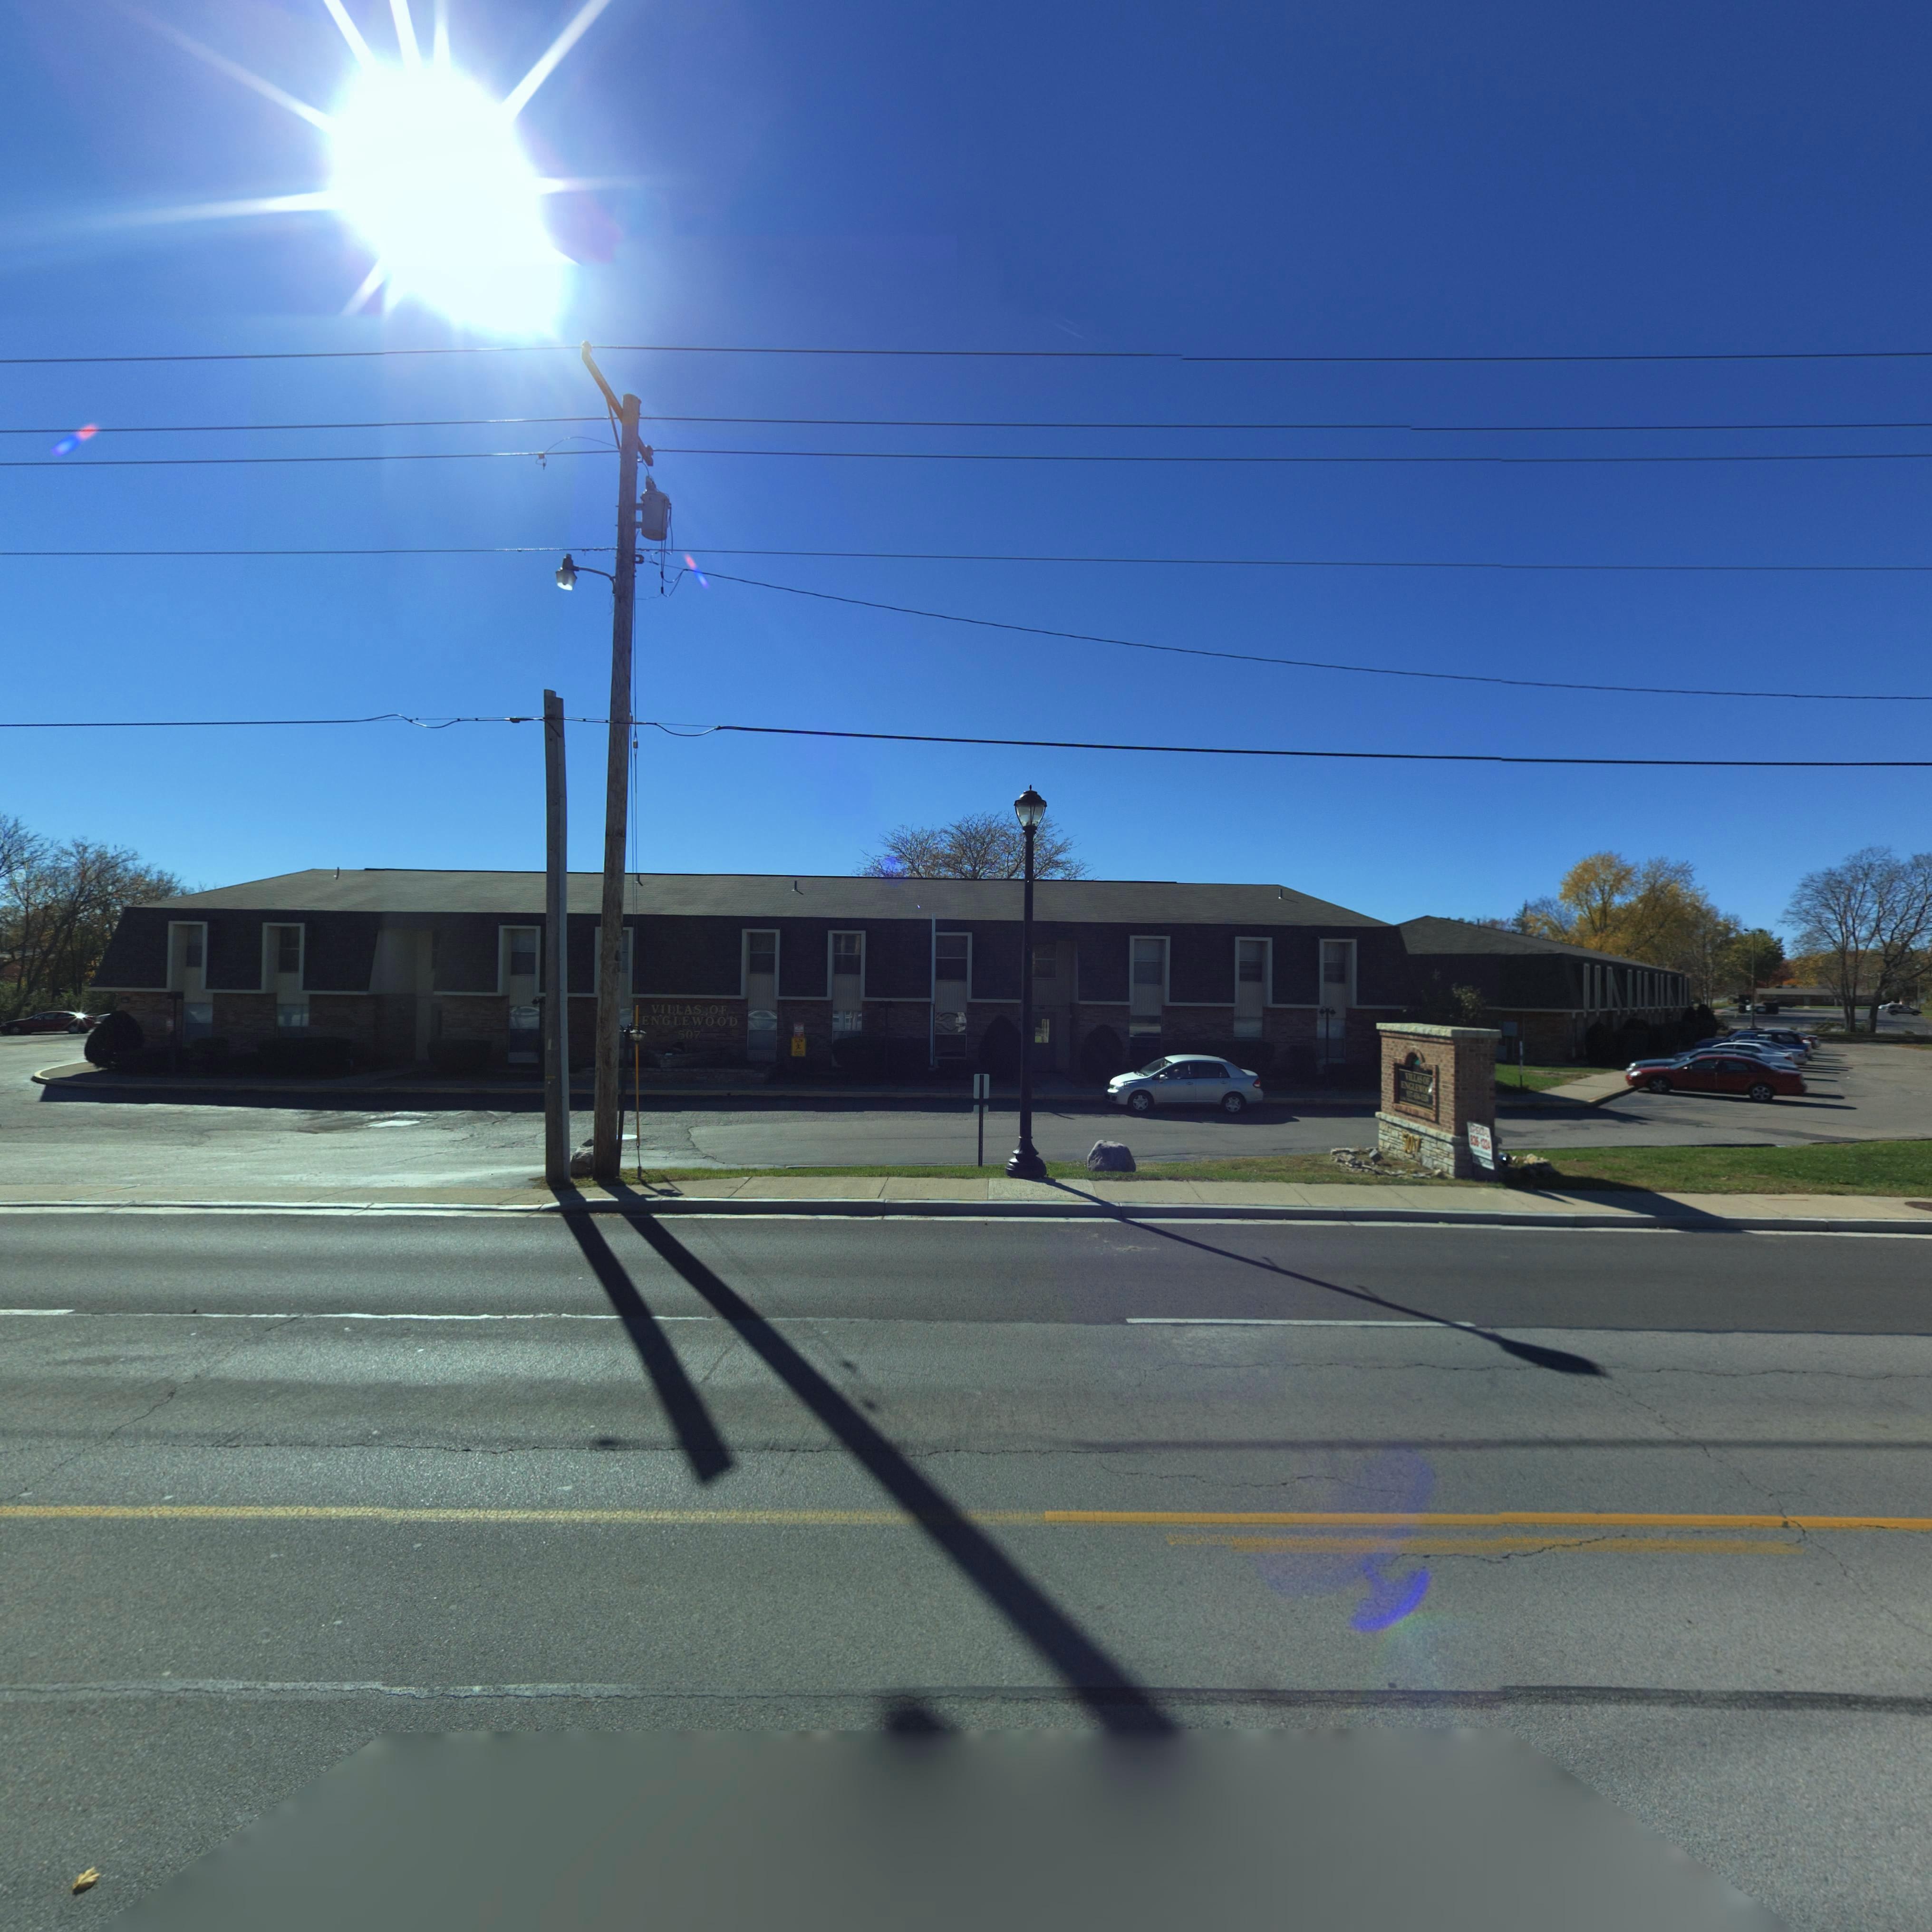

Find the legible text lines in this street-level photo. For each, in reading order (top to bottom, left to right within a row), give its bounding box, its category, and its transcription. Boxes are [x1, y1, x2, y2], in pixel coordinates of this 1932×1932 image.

[649, 1004, 728, 1016] BusinessName: VILLAS OF
[641, 1014, 738, 1027] BusinessName: ENGLEWOOD
[677, 1029, 702, 1042] StreetNumber: 507
[793, 1038, 804, 1043] None: SLOW
[1404, 1072, 1431, 1086] BusinessName: VILLAS OF
[1400, 1080, 1419, 1093] BusinessName: ENGLE
[1468, 1123, 1490, 1139] None: SPECIAL
[1401, 1130, 1422, 1159] StreetNumber: 507
[1469, 1134, 1479, 1148] None: 836